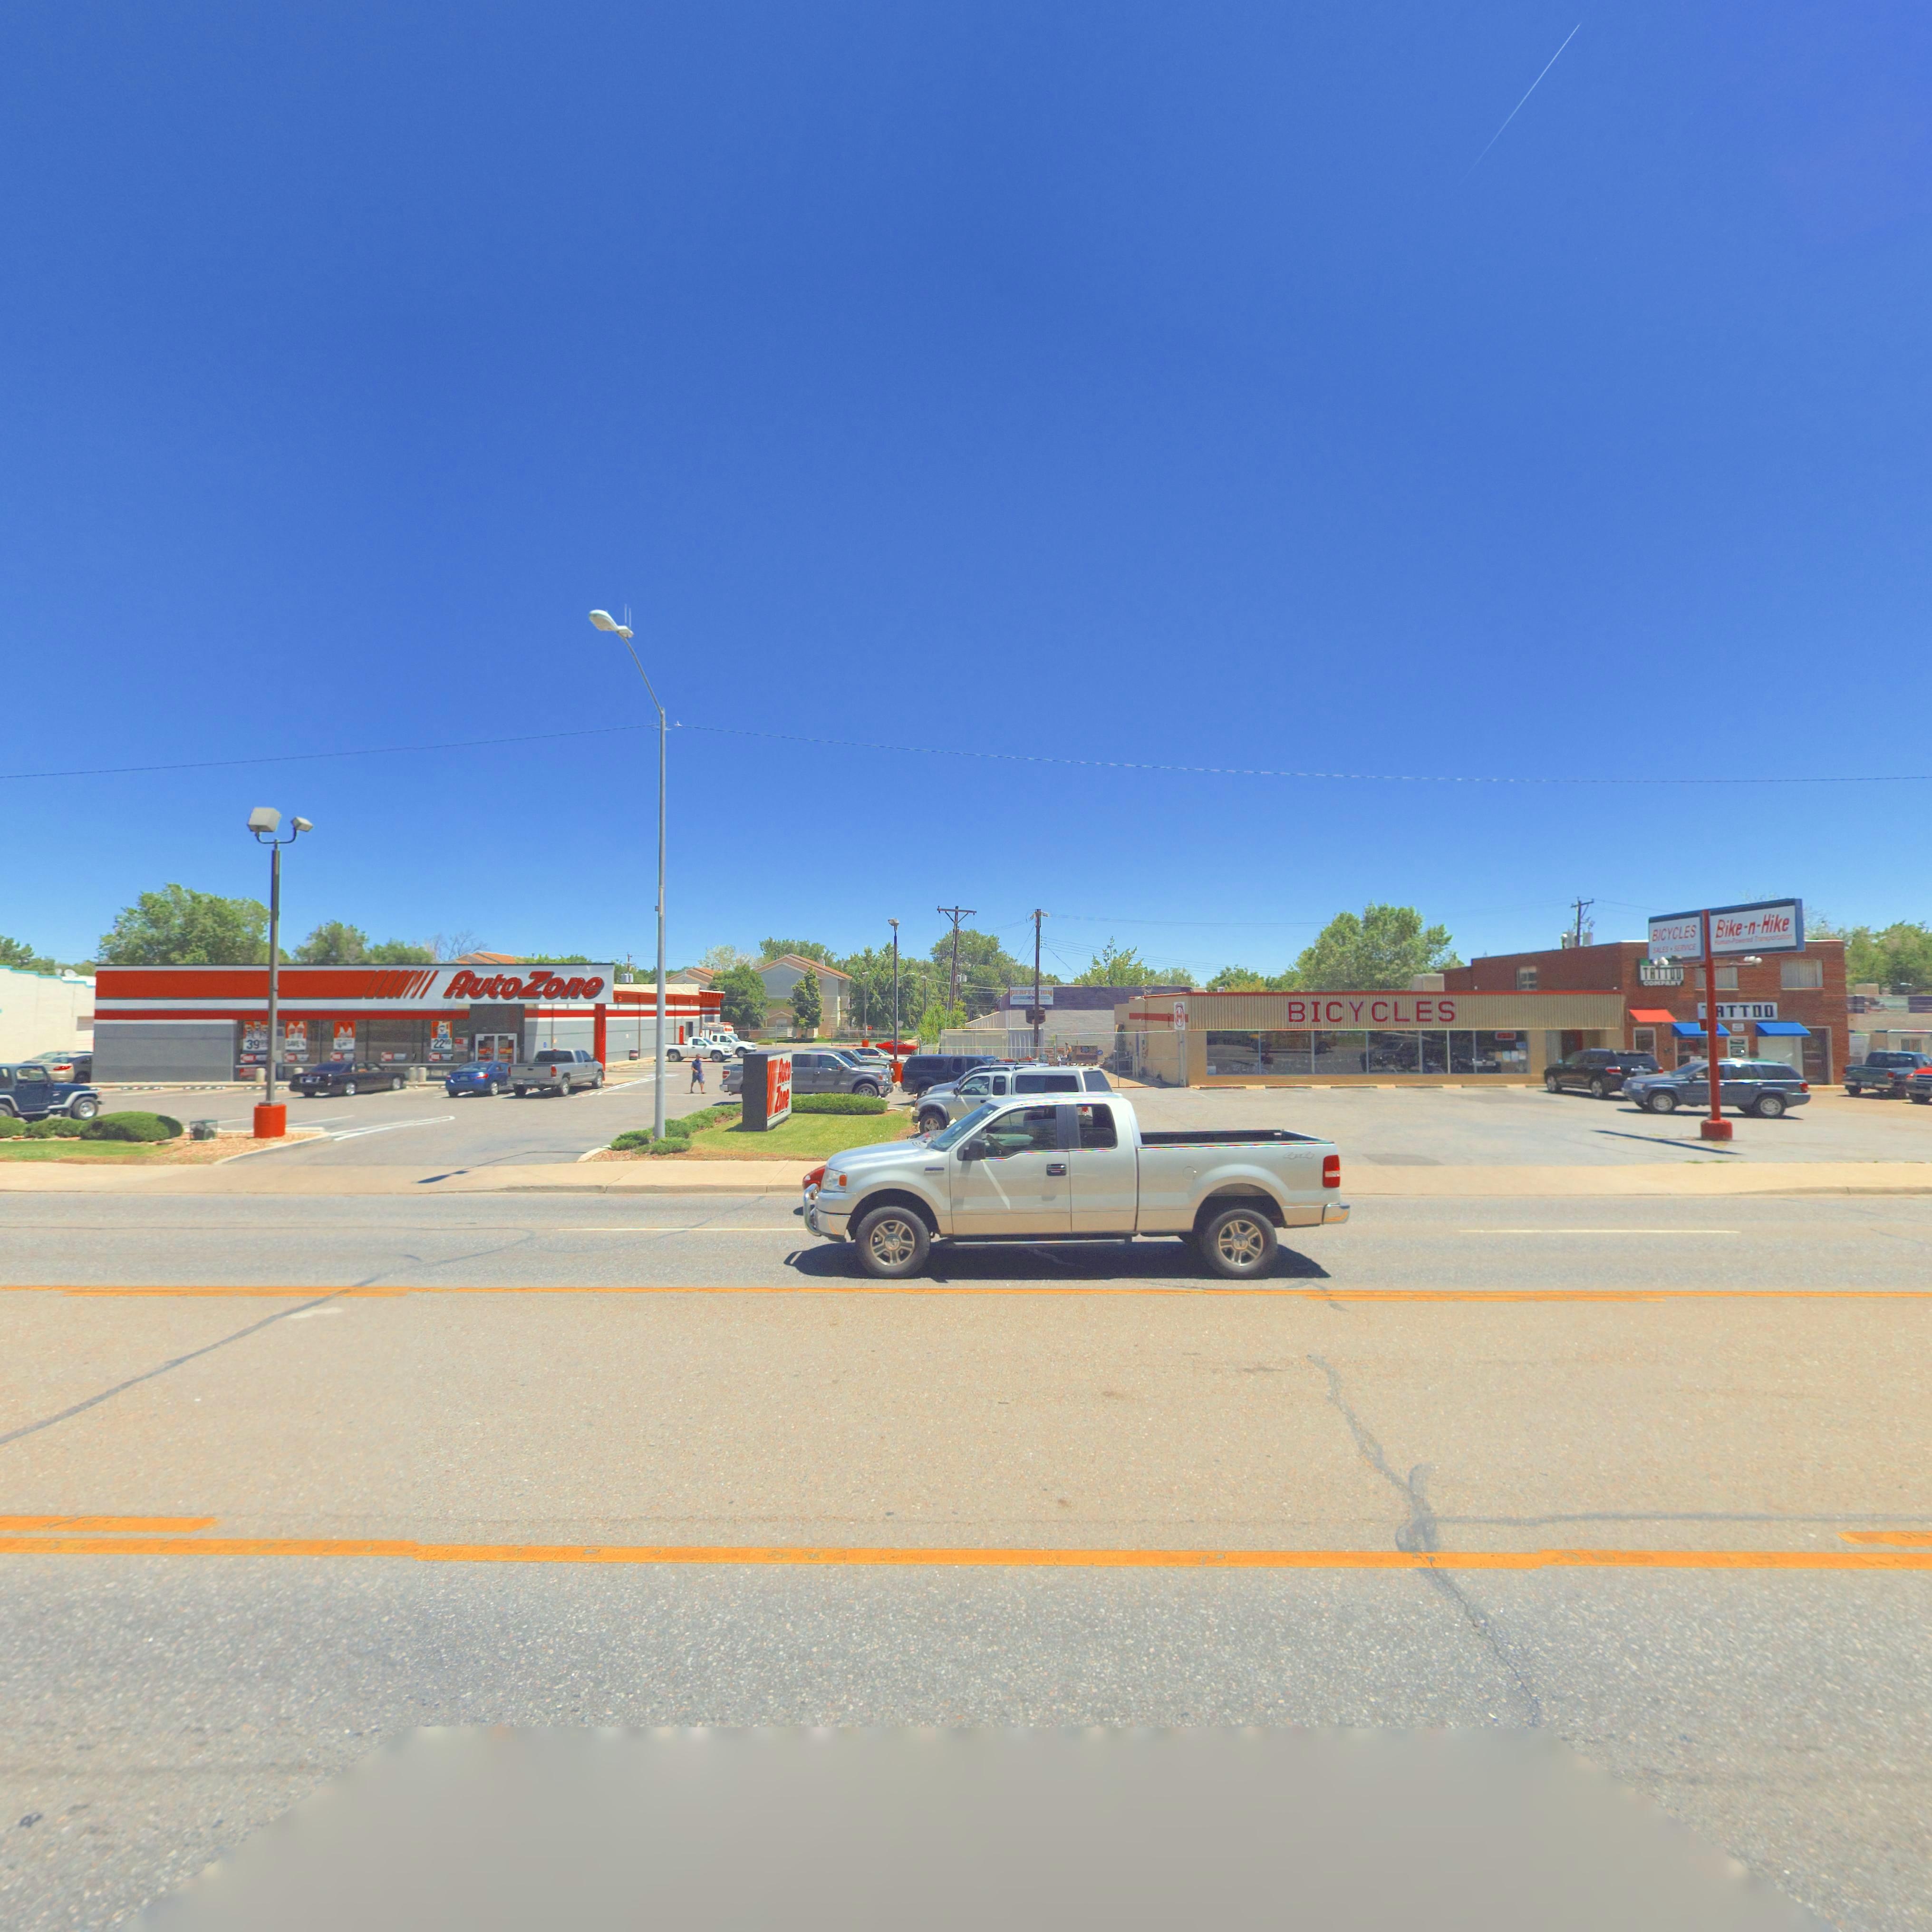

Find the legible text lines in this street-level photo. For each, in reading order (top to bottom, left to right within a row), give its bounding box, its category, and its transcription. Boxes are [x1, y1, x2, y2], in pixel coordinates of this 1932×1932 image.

[1652, 924, 1697, 941] BusinessName: BICYCLES
[1715, 912, 1789, 938] BusinessName: Bike*n*Hike
[441, 969, 604, 1000] BusinessName: AutoZone
[1010, 989, 1053, 997] BusinessName: PERFEC*ION
[1642, 966, 1681, 979] BusinessName: TATTOO
[1642, 980, 1682, 985] BusinessName: COMPANY
[1286, 999, 1456, 1023] BusinessName: BICYLCES
[776, 1057, 791, 1085] BusinessName: Auto
[773, 1084, 790, 1114] BusinessName: Zone